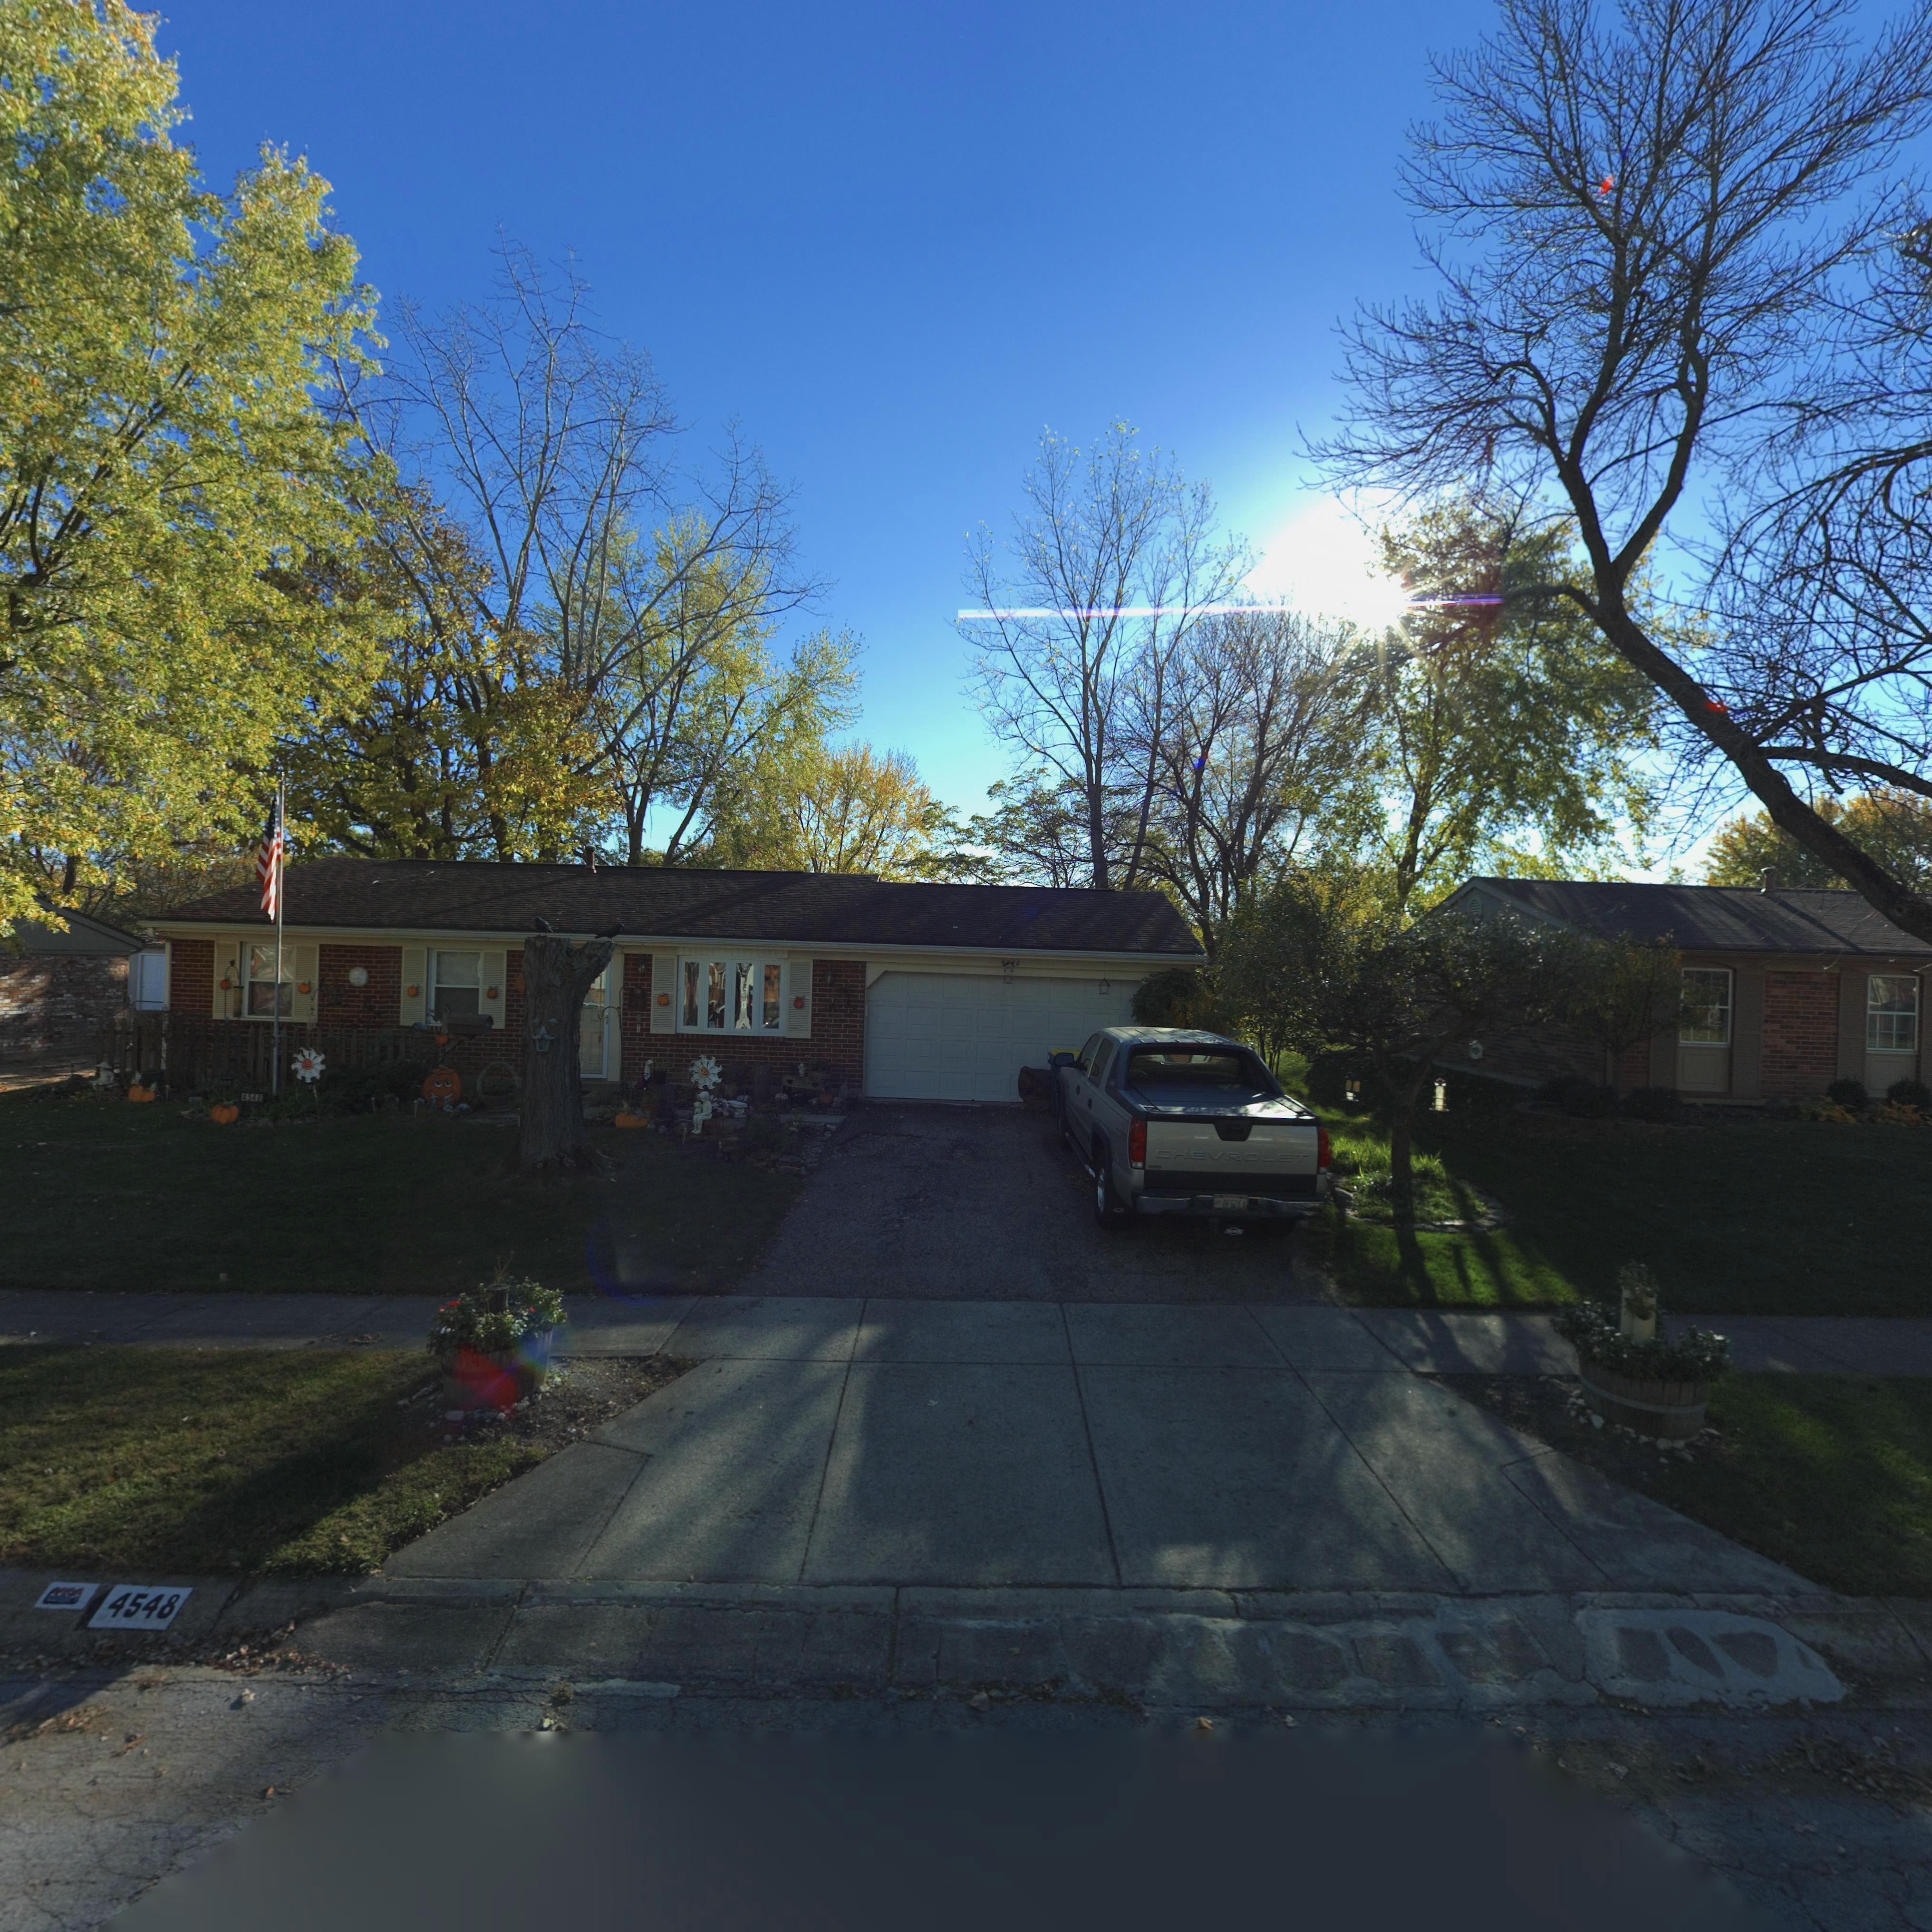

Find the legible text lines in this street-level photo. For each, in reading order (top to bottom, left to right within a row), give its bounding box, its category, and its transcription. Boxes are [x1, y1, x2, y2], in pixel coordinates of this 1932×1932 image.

[1000, 959, 1021, 966] StreetNumber: 4**8
[241, 1092, 262, 1102] StreetNumber: 4548
[106, 1591, 183, 1621] StreetNumber: 4548